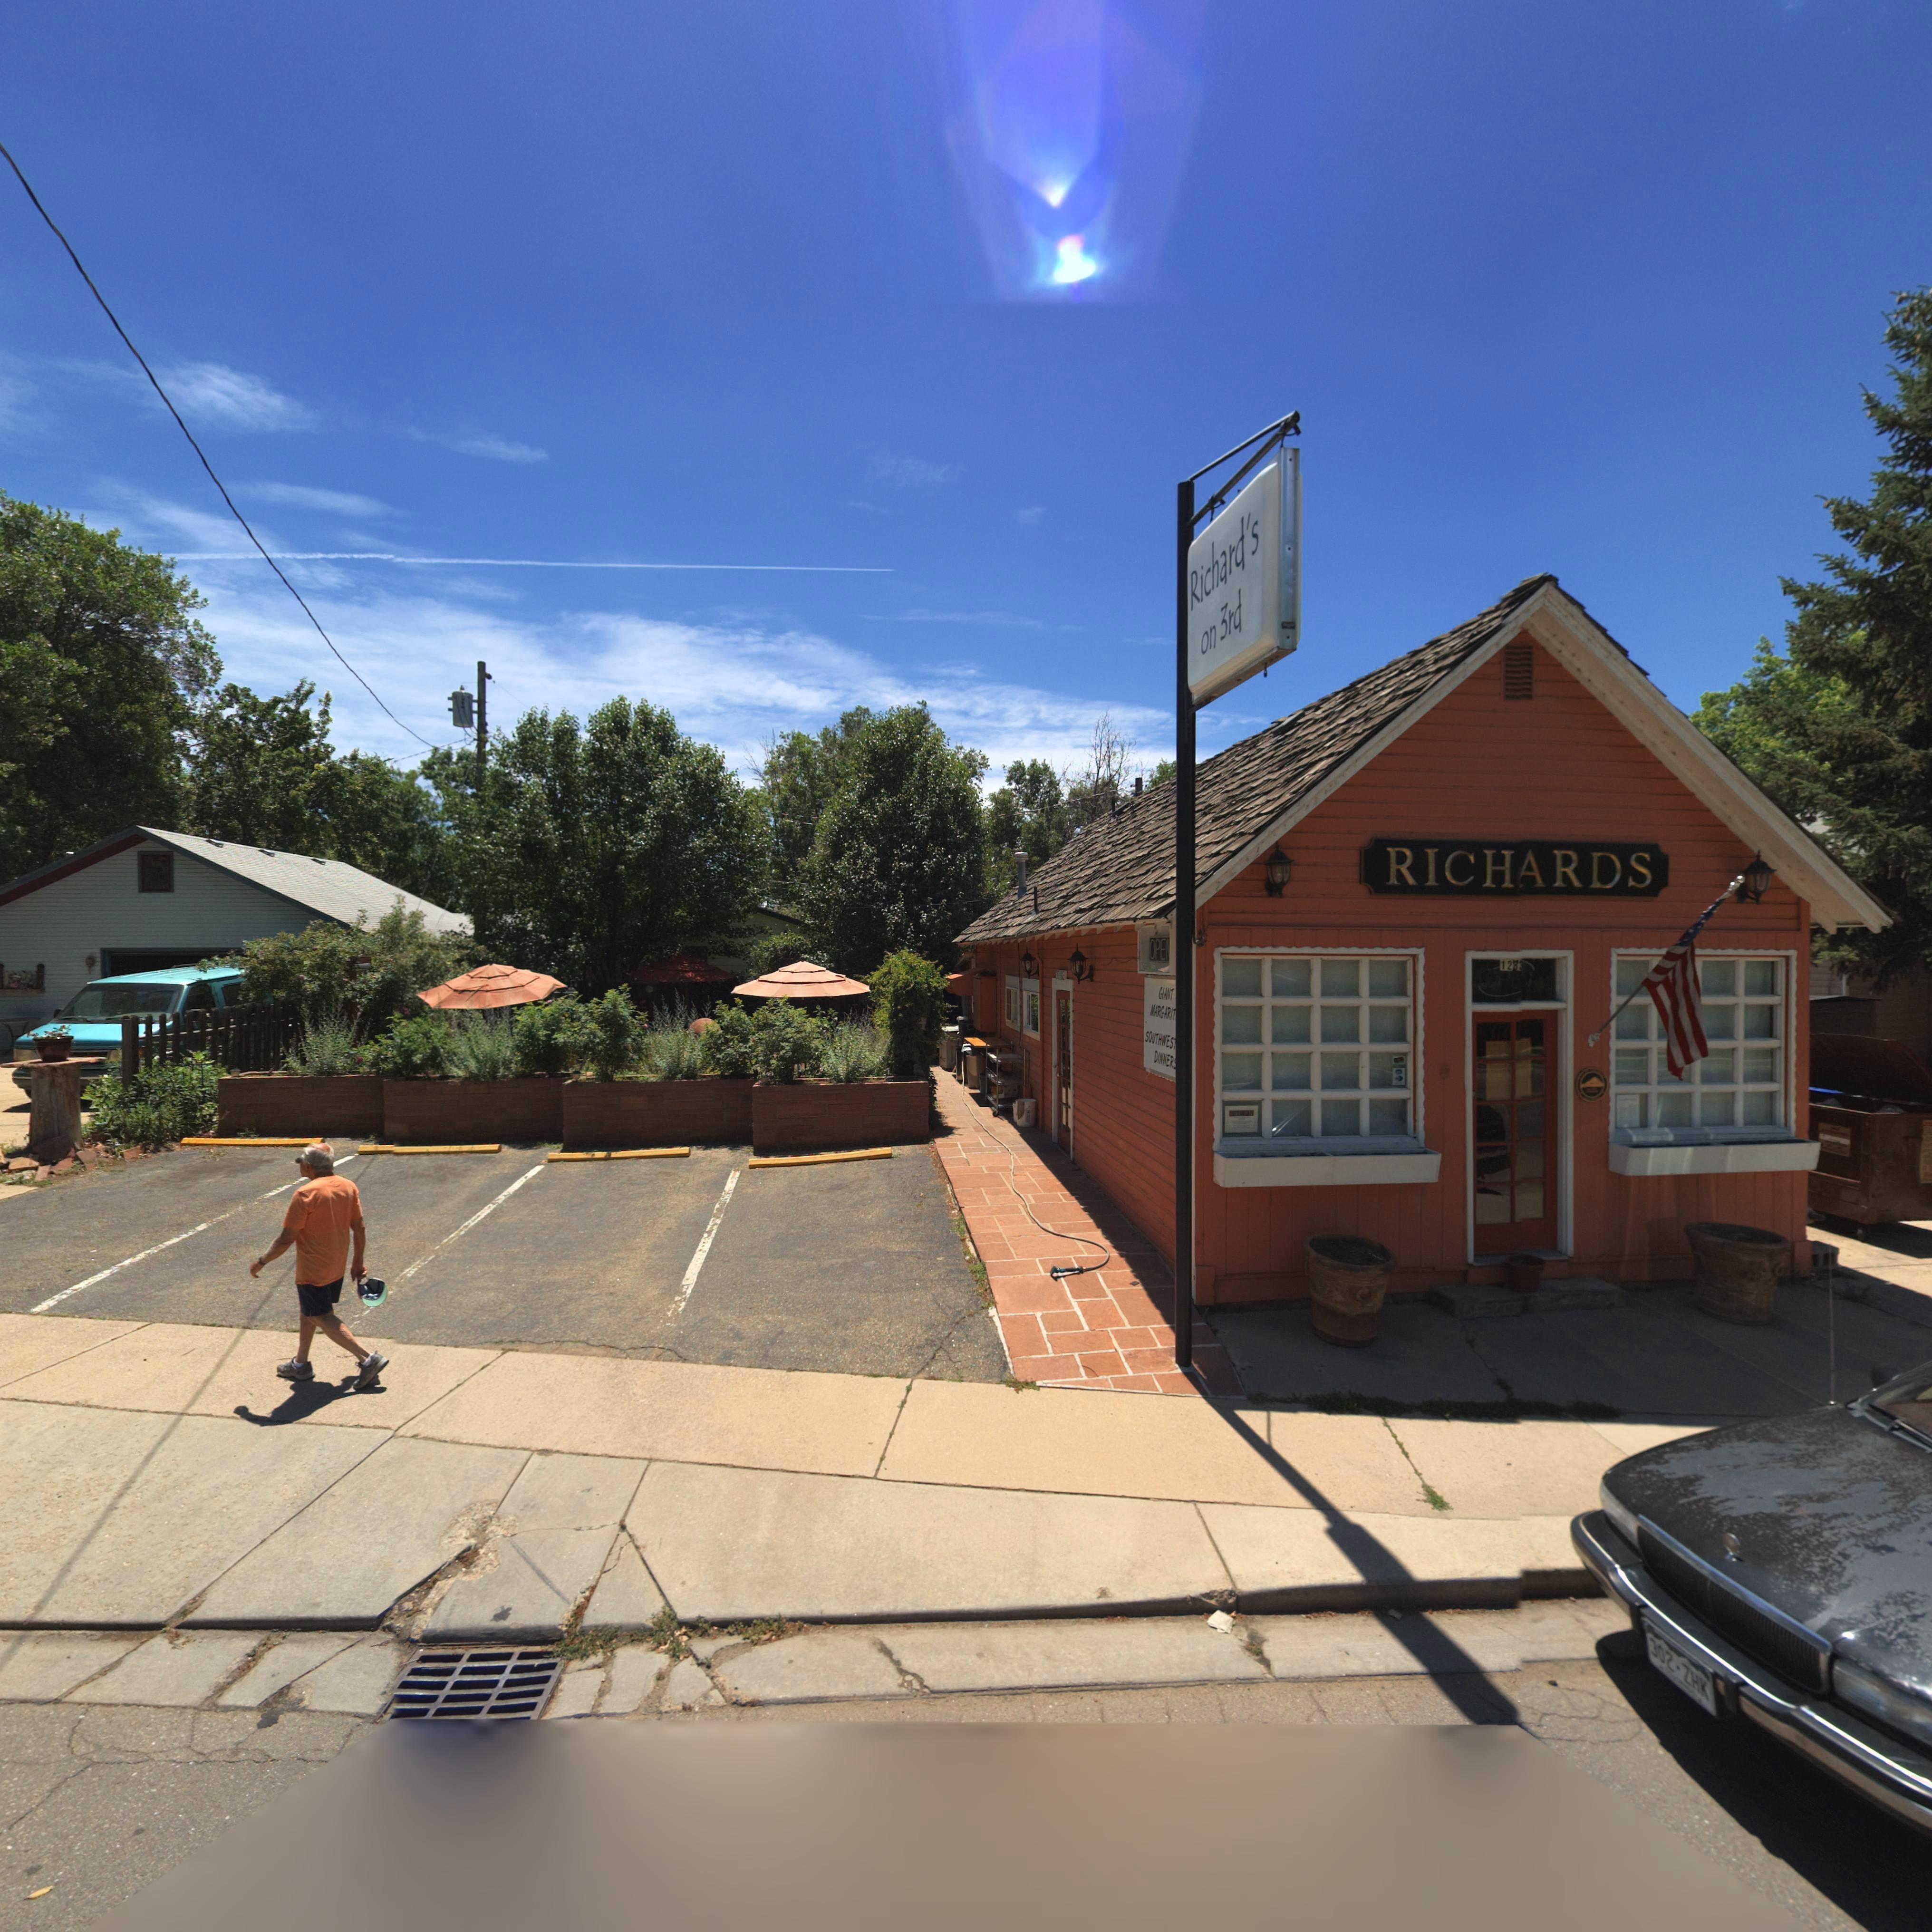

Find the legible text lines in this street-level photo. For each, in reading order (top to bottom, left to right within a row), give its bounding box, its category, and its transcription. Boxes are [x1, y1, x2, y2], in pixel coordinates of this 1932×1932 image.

[1190, 511, 1259, 611] BusinessName: Richard's
[1384, 846, 1653, 889] BusinessName: RICHARDS
[1501, 960, 1522, 970] StreetNumber: 128*